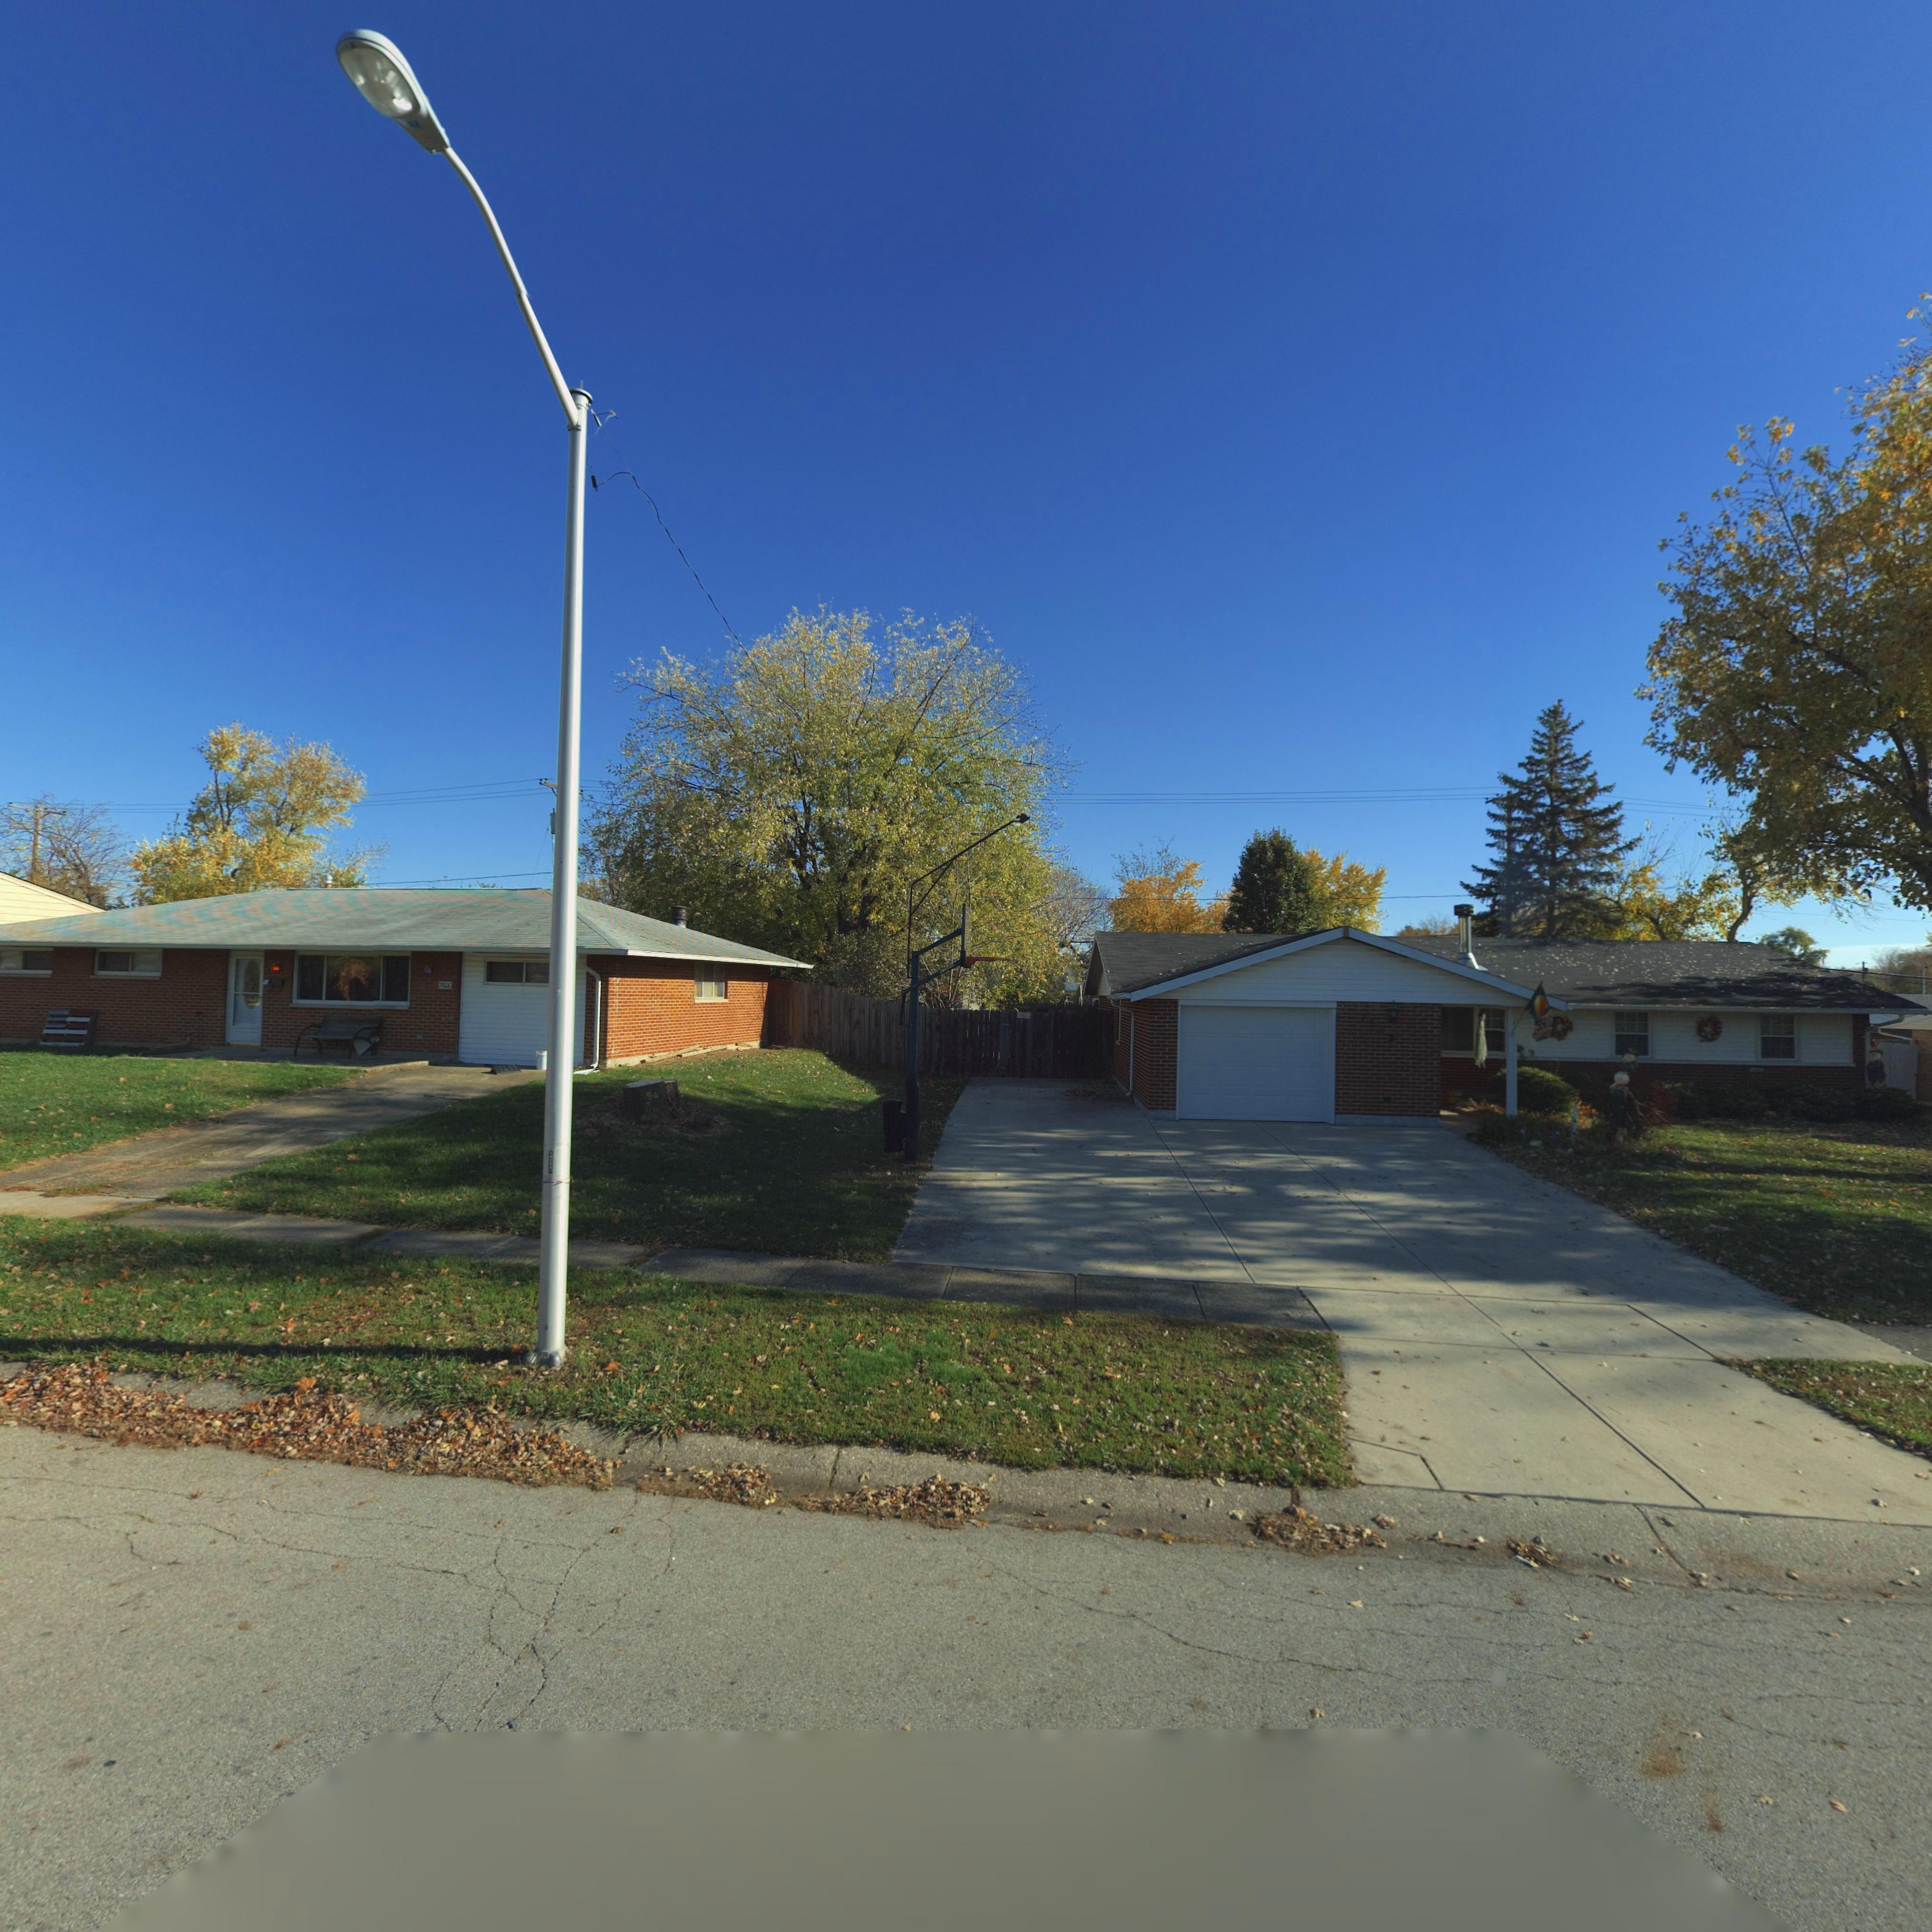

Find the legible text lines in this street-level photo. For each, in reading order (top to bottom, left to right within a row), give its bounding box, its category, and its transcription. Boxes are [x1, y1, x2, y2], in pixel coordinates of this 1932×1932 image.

[438, 981, 453, 989] StreetNumber: 7600